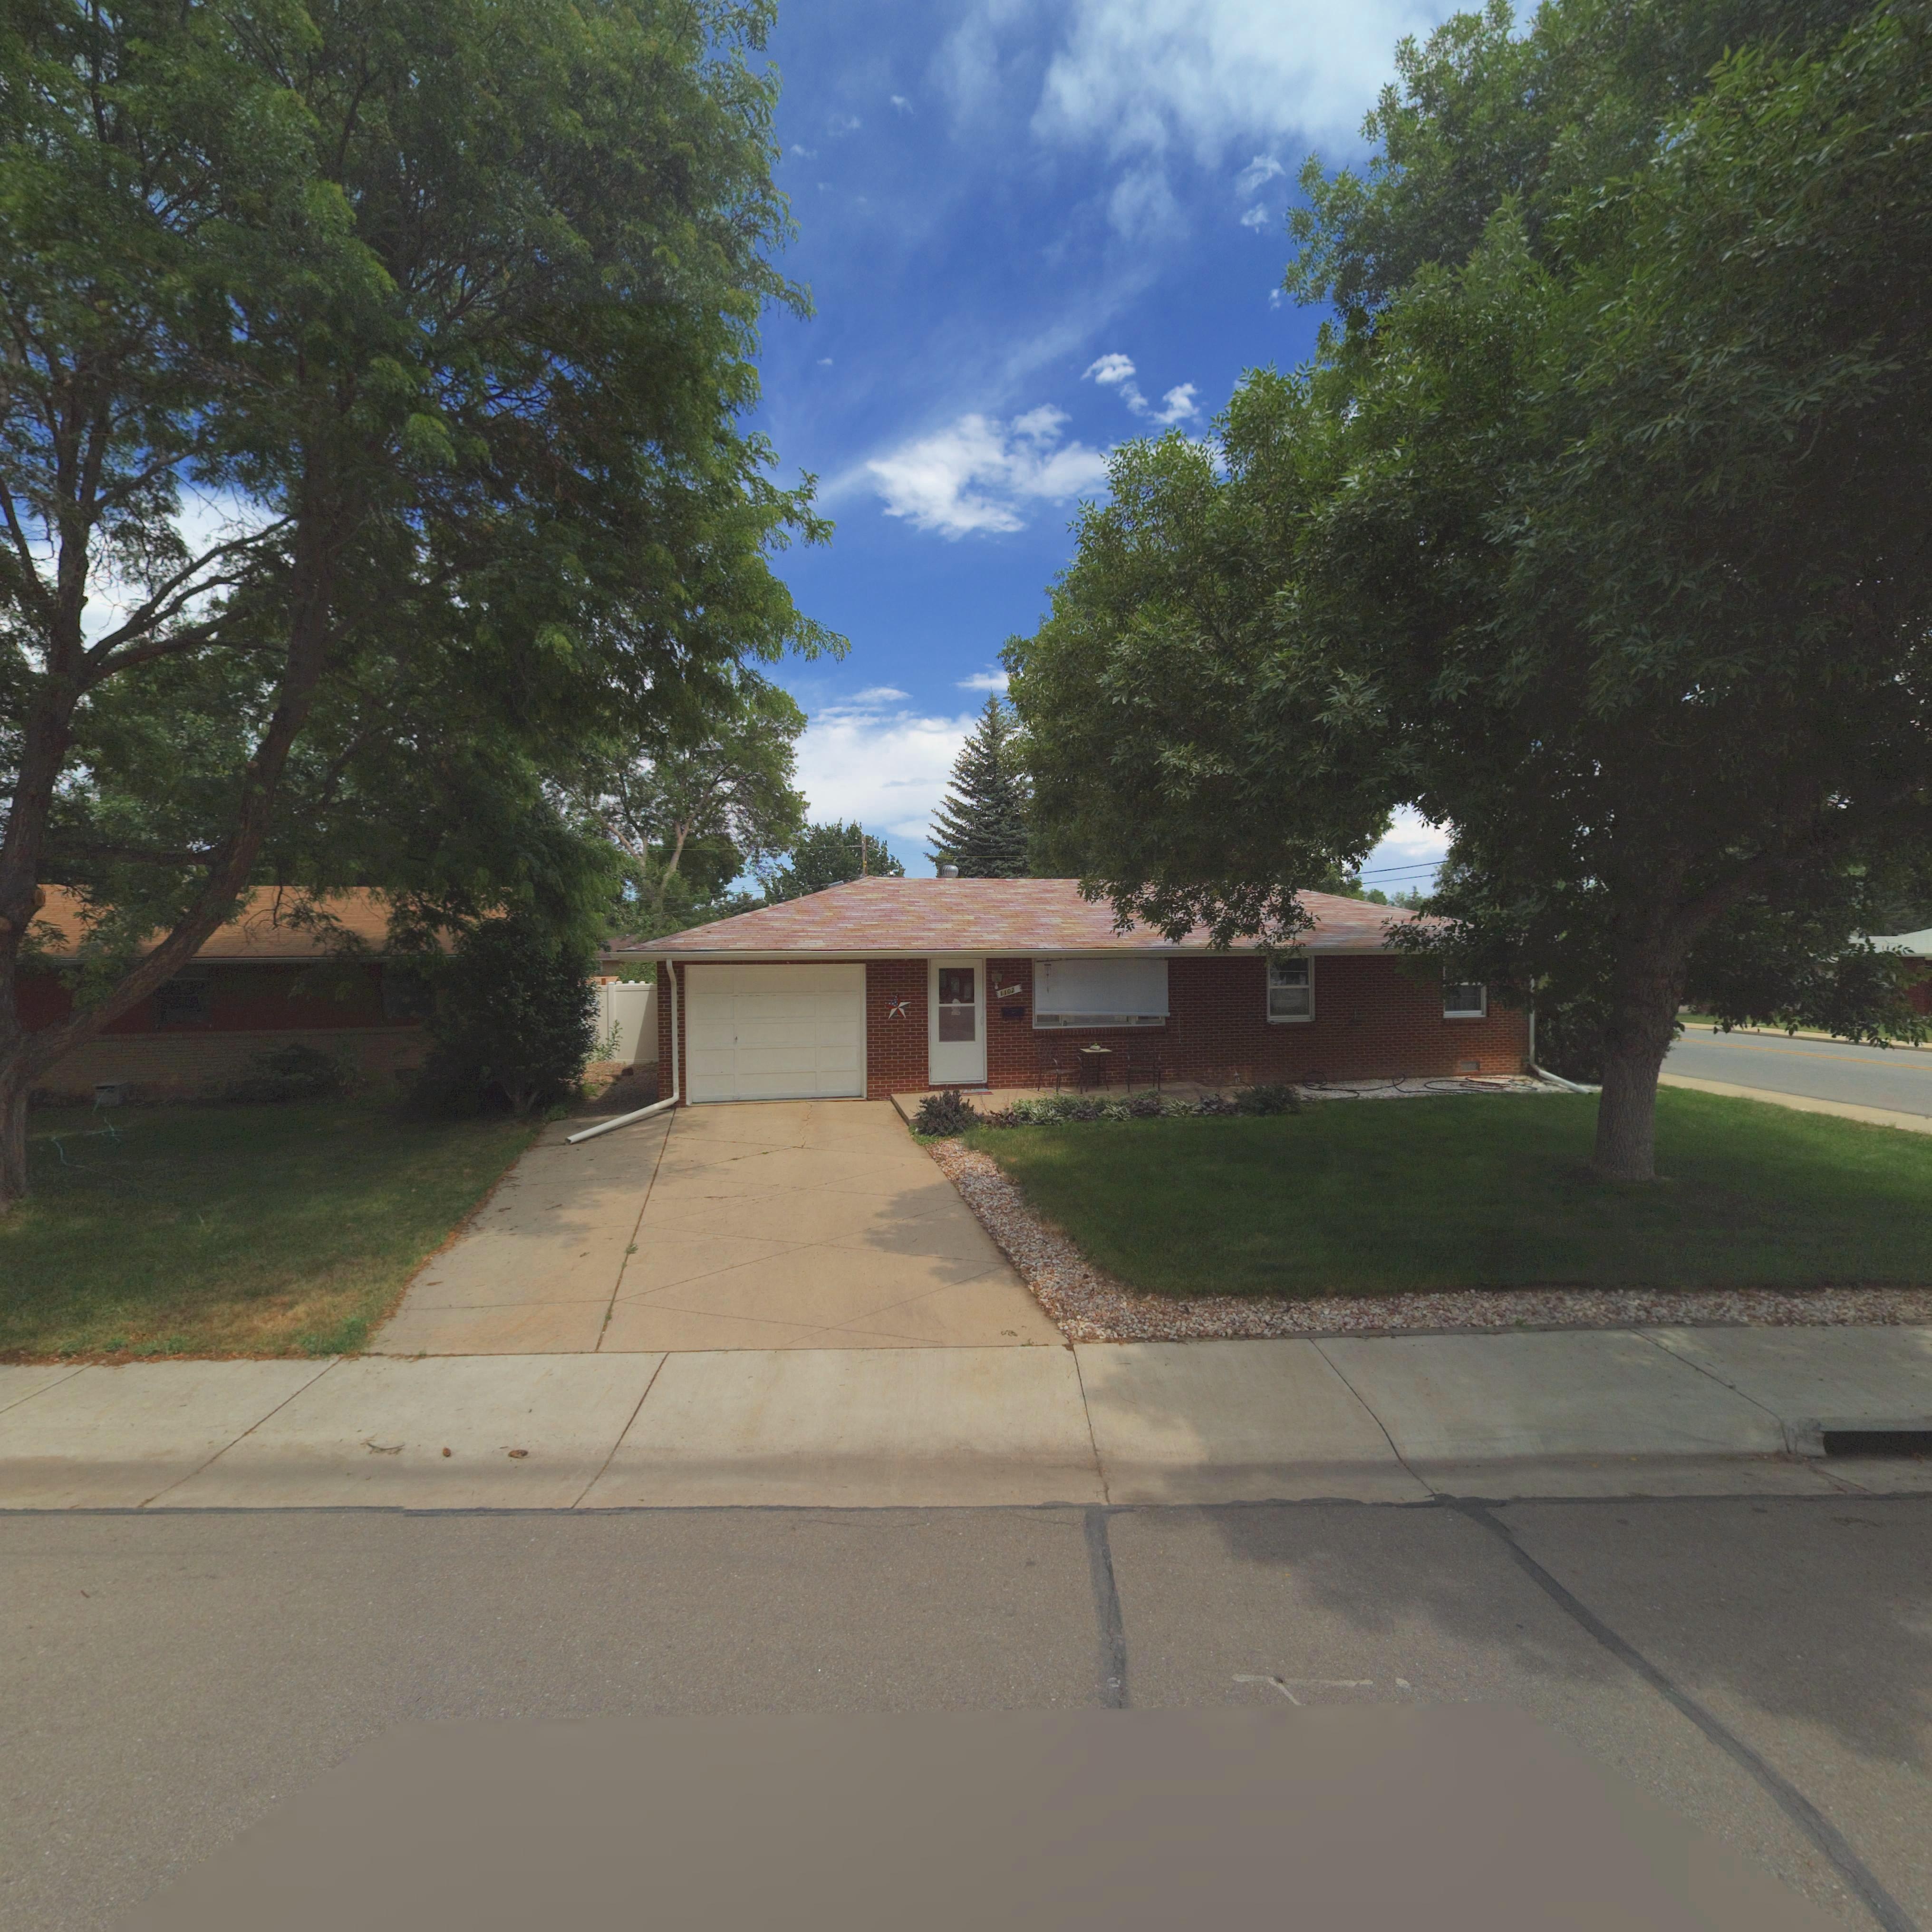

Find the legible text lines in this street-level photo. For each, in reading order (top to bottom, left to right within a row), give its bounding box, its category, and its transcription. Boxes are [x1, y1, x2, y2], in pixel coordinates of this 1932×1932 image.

[1000, 987, 1014, 997] StreetNumber: 1102